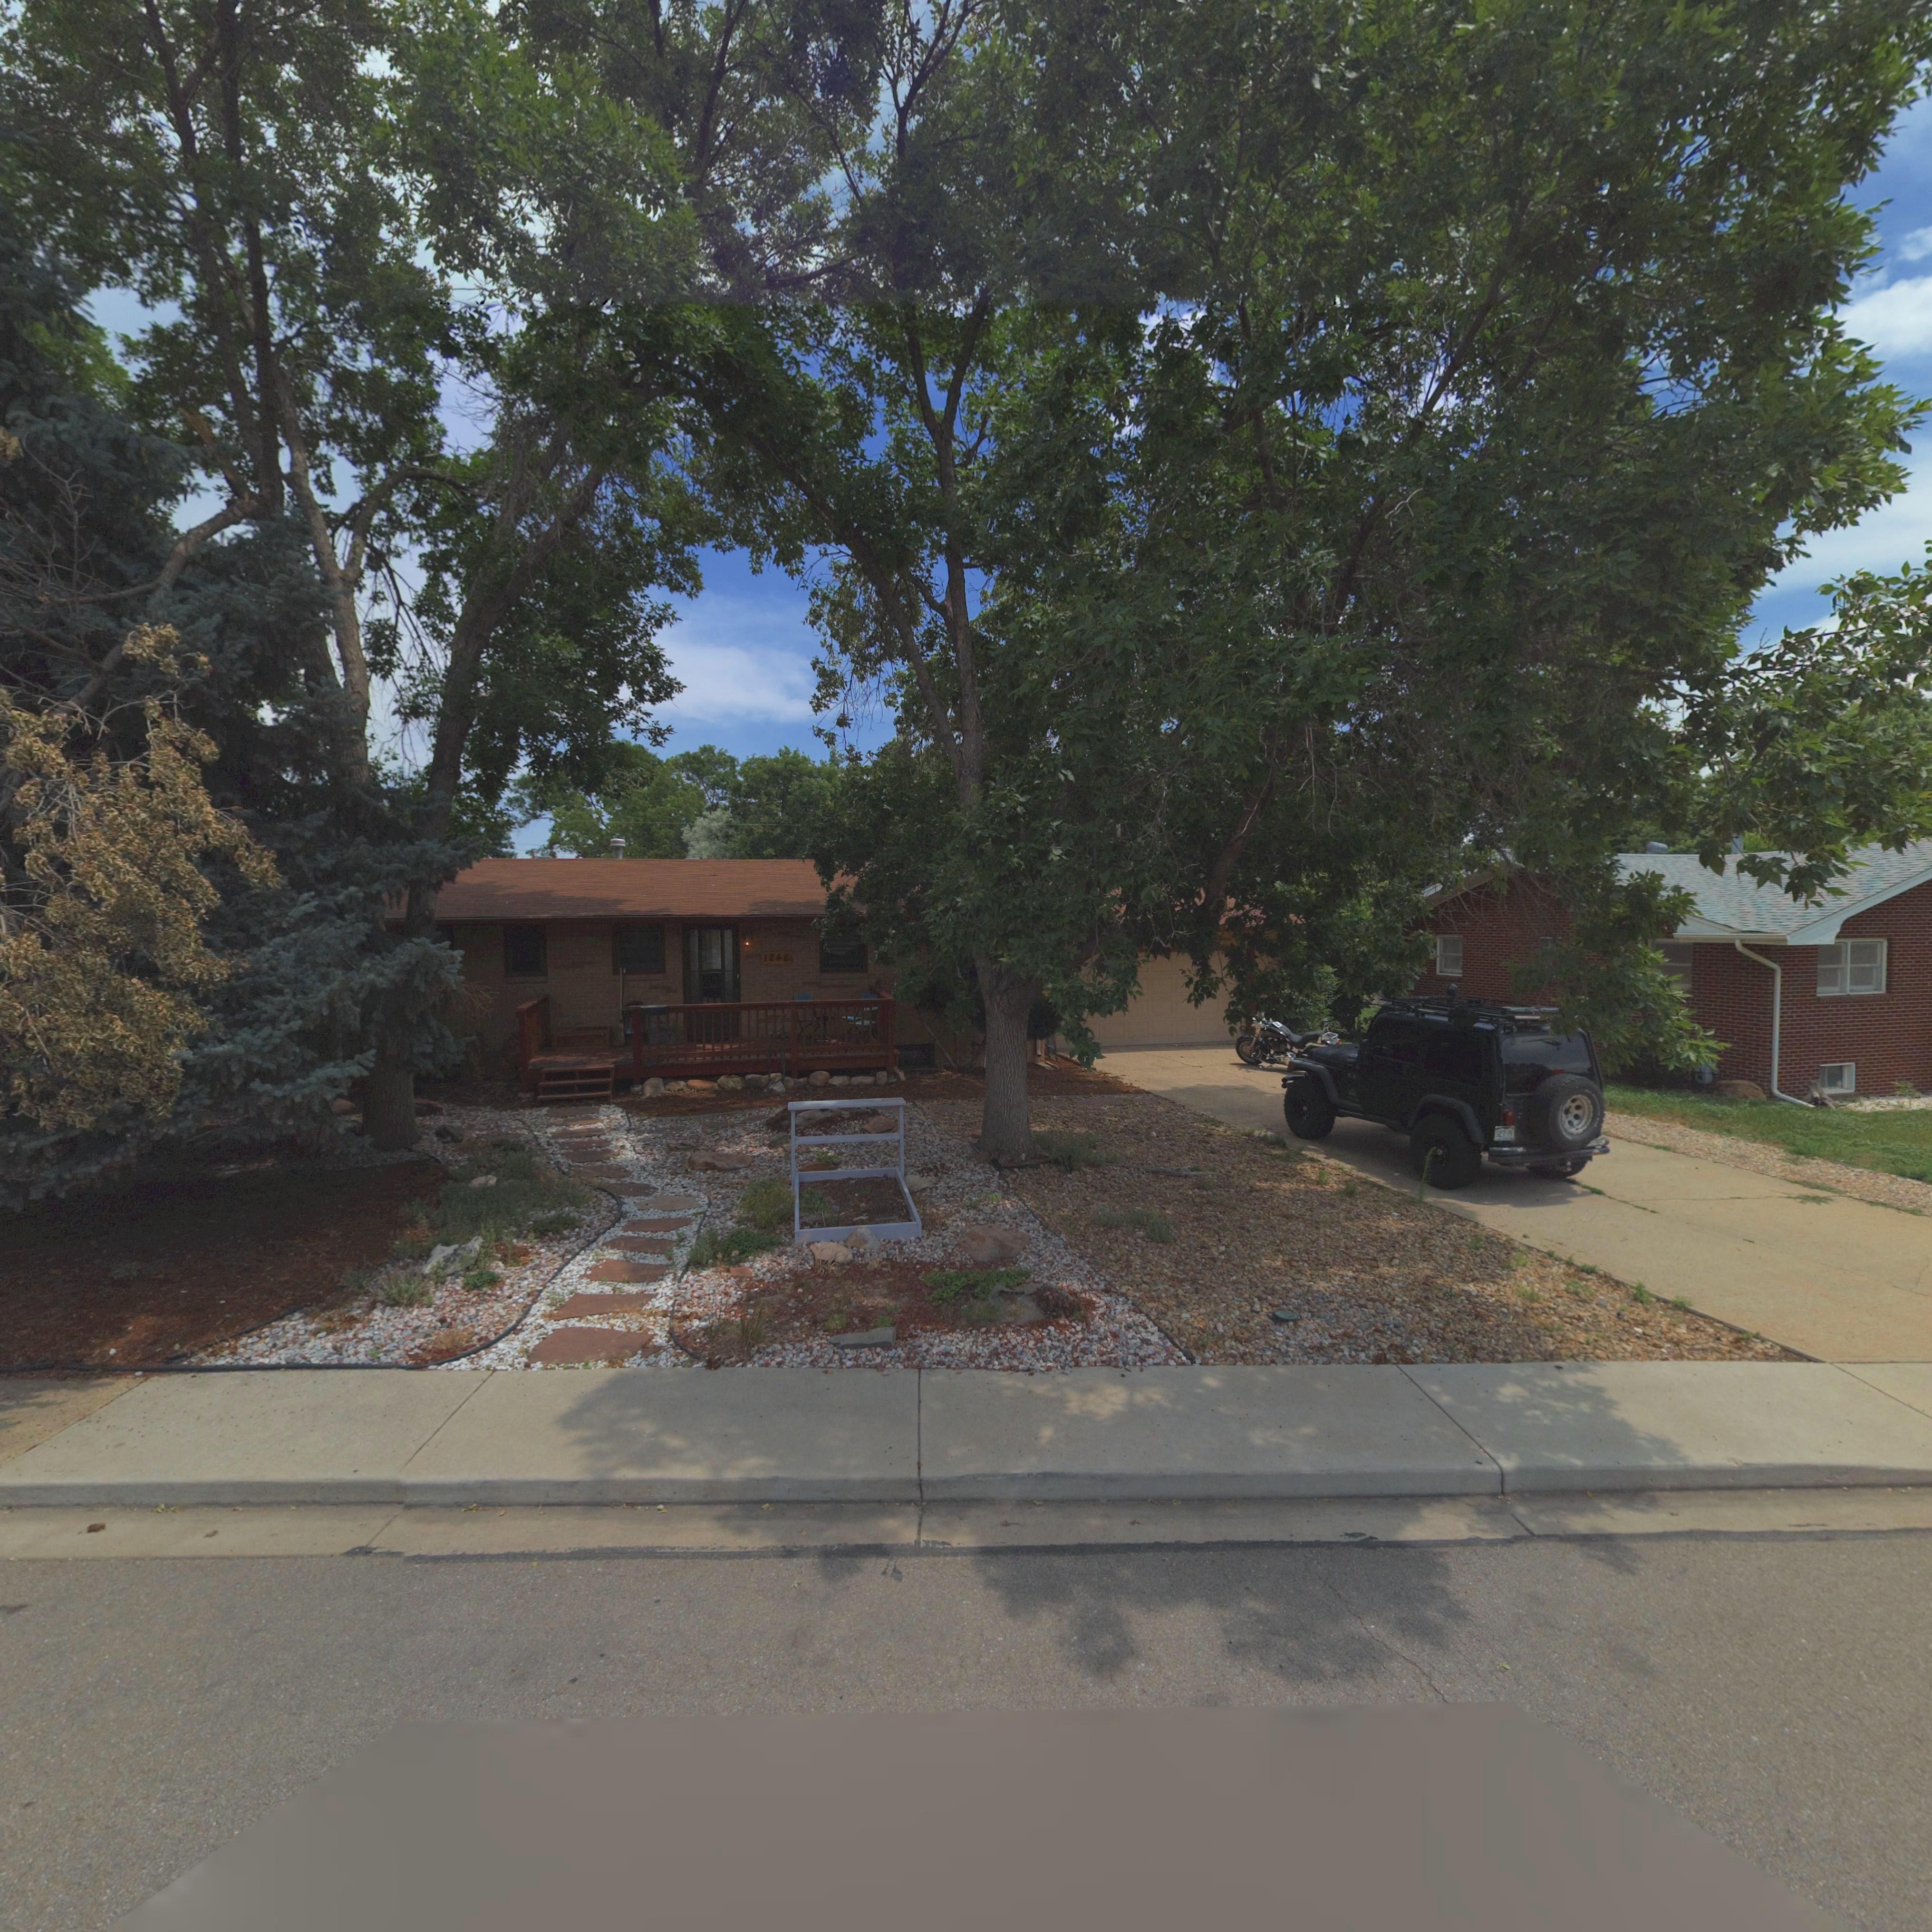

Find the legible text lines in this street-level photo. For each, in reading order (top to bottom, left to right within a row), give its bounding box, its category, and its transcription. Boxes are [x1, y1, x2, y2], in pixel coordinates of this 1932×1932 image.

[763, 953, 789, 962] StreetNumber: 1248